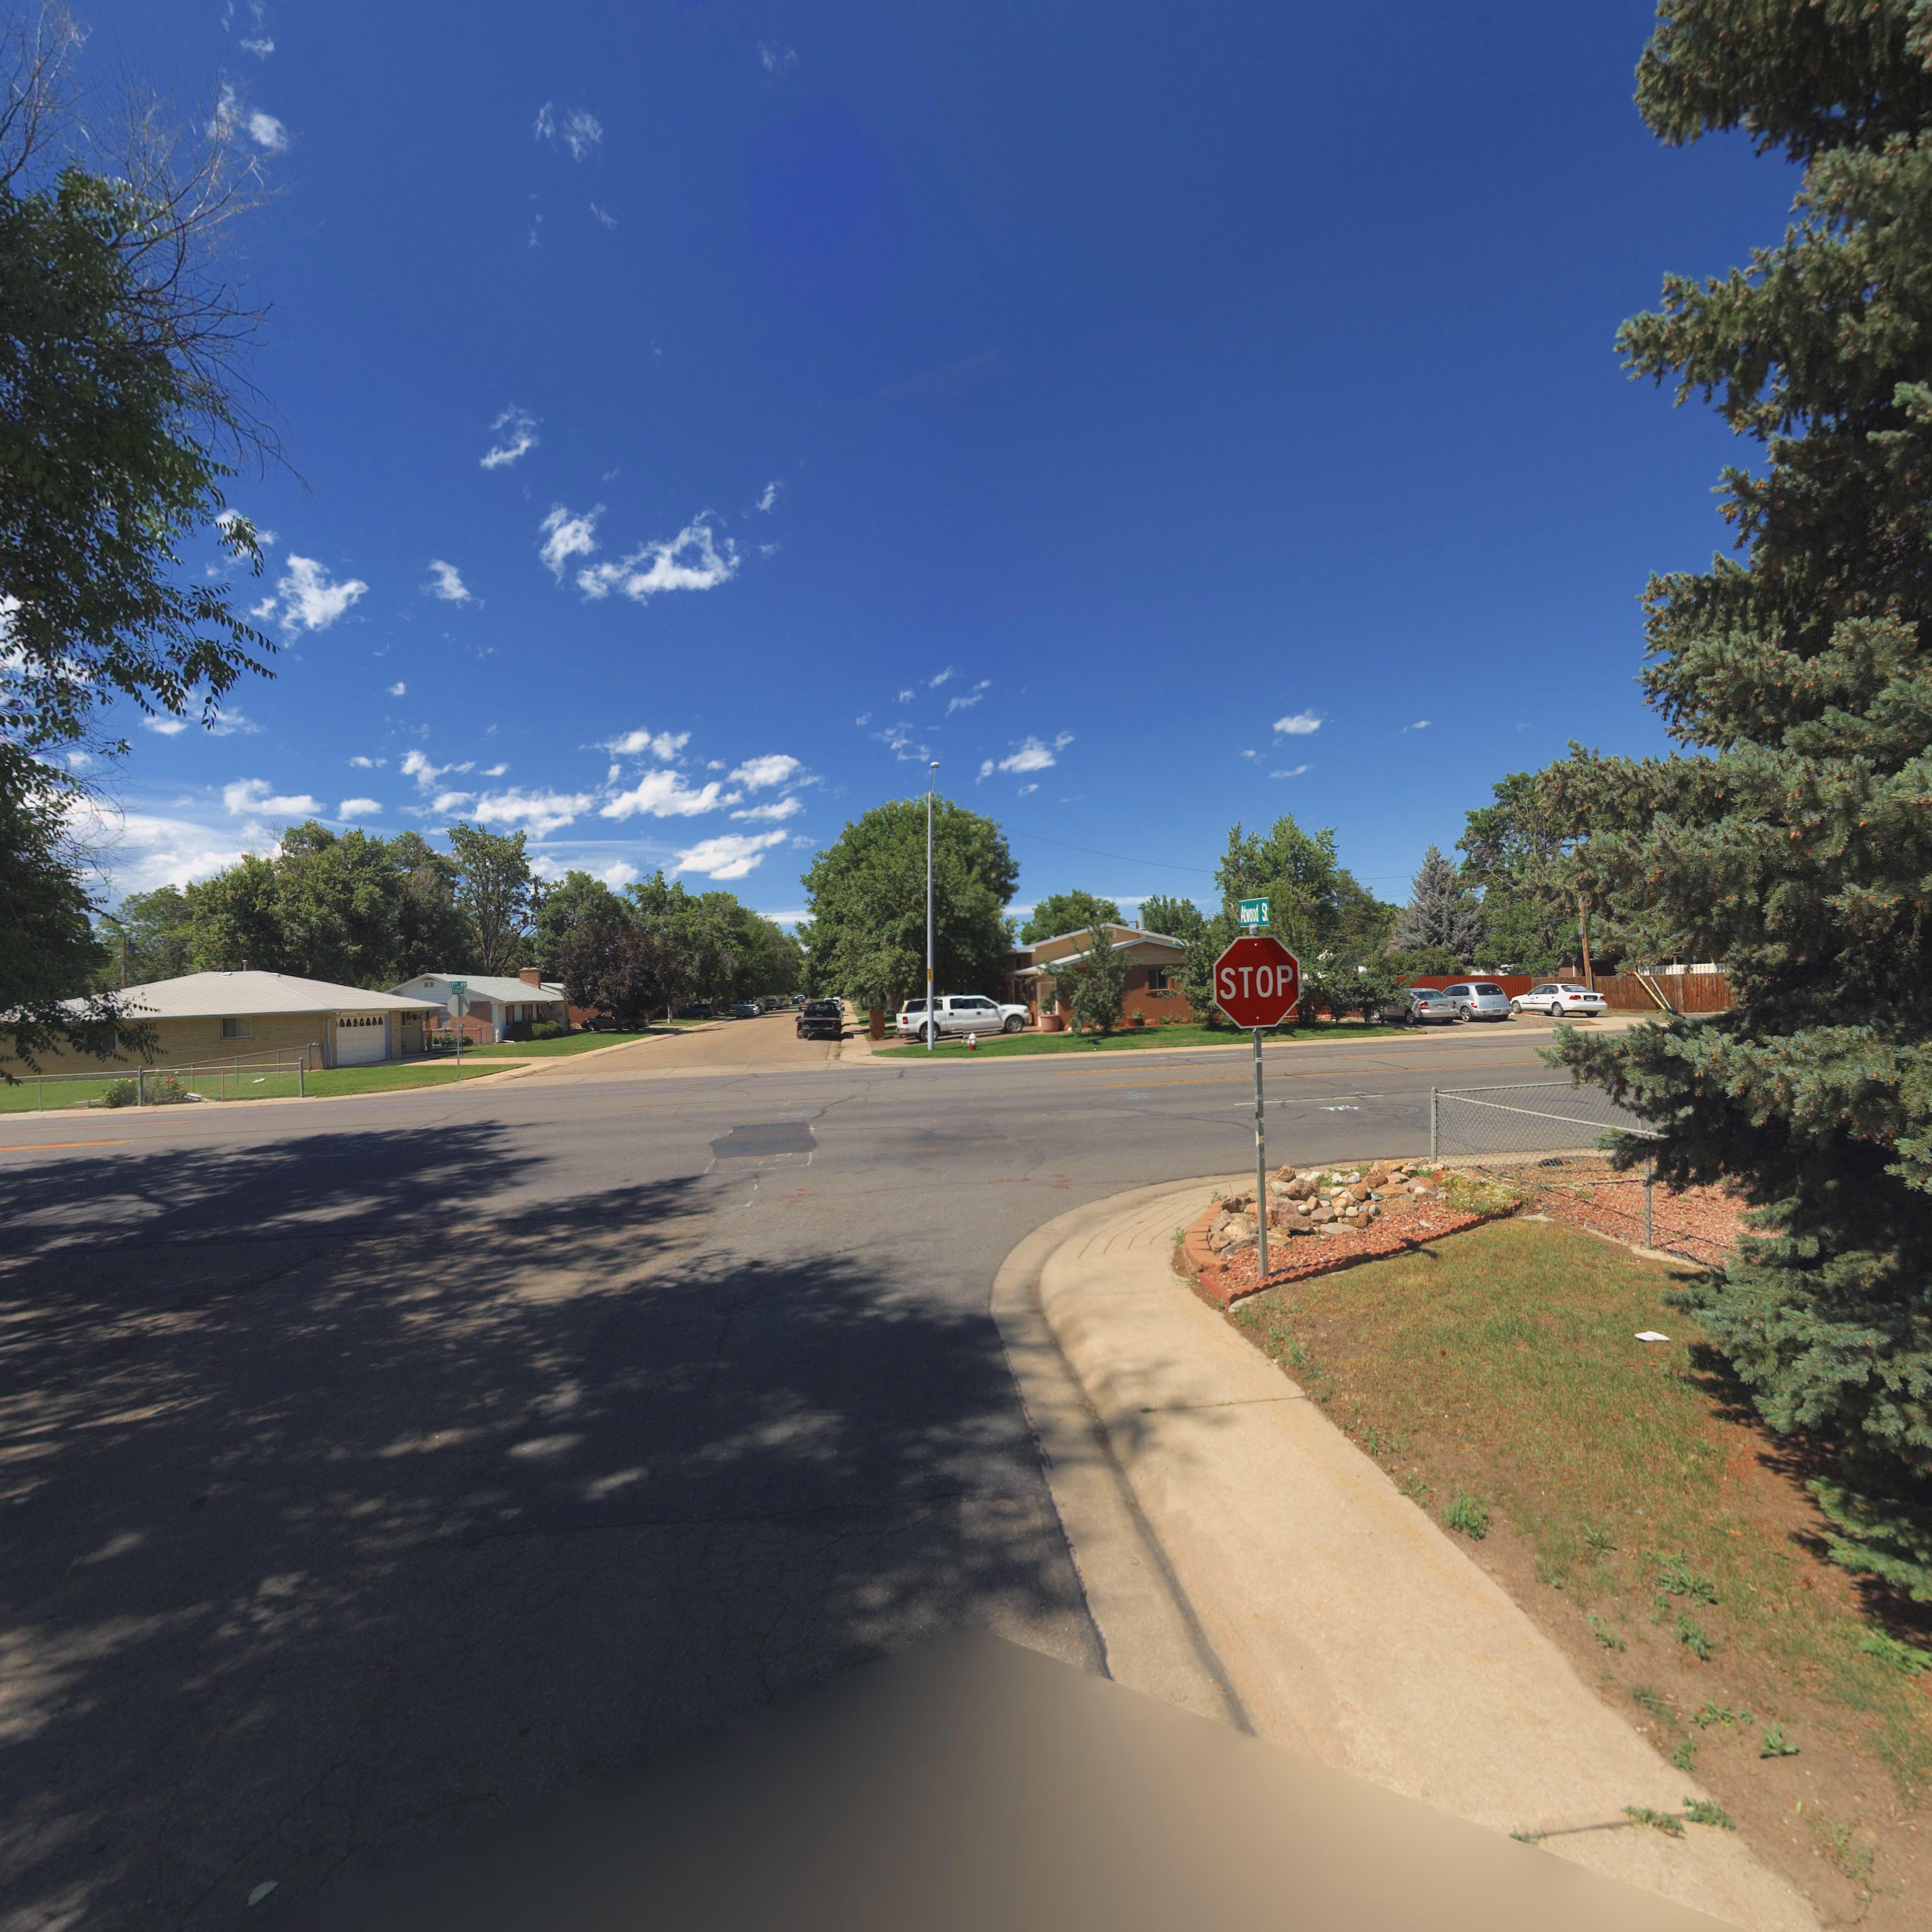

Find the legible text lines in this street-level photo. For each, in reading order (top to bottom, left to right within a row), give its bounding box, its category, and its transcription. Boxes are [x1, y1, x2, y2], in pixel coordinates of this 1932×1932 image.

[449, 982, 466, 986] StreetName: 17** AV
[453, 988, 464, 993] StreetName: ******* S*